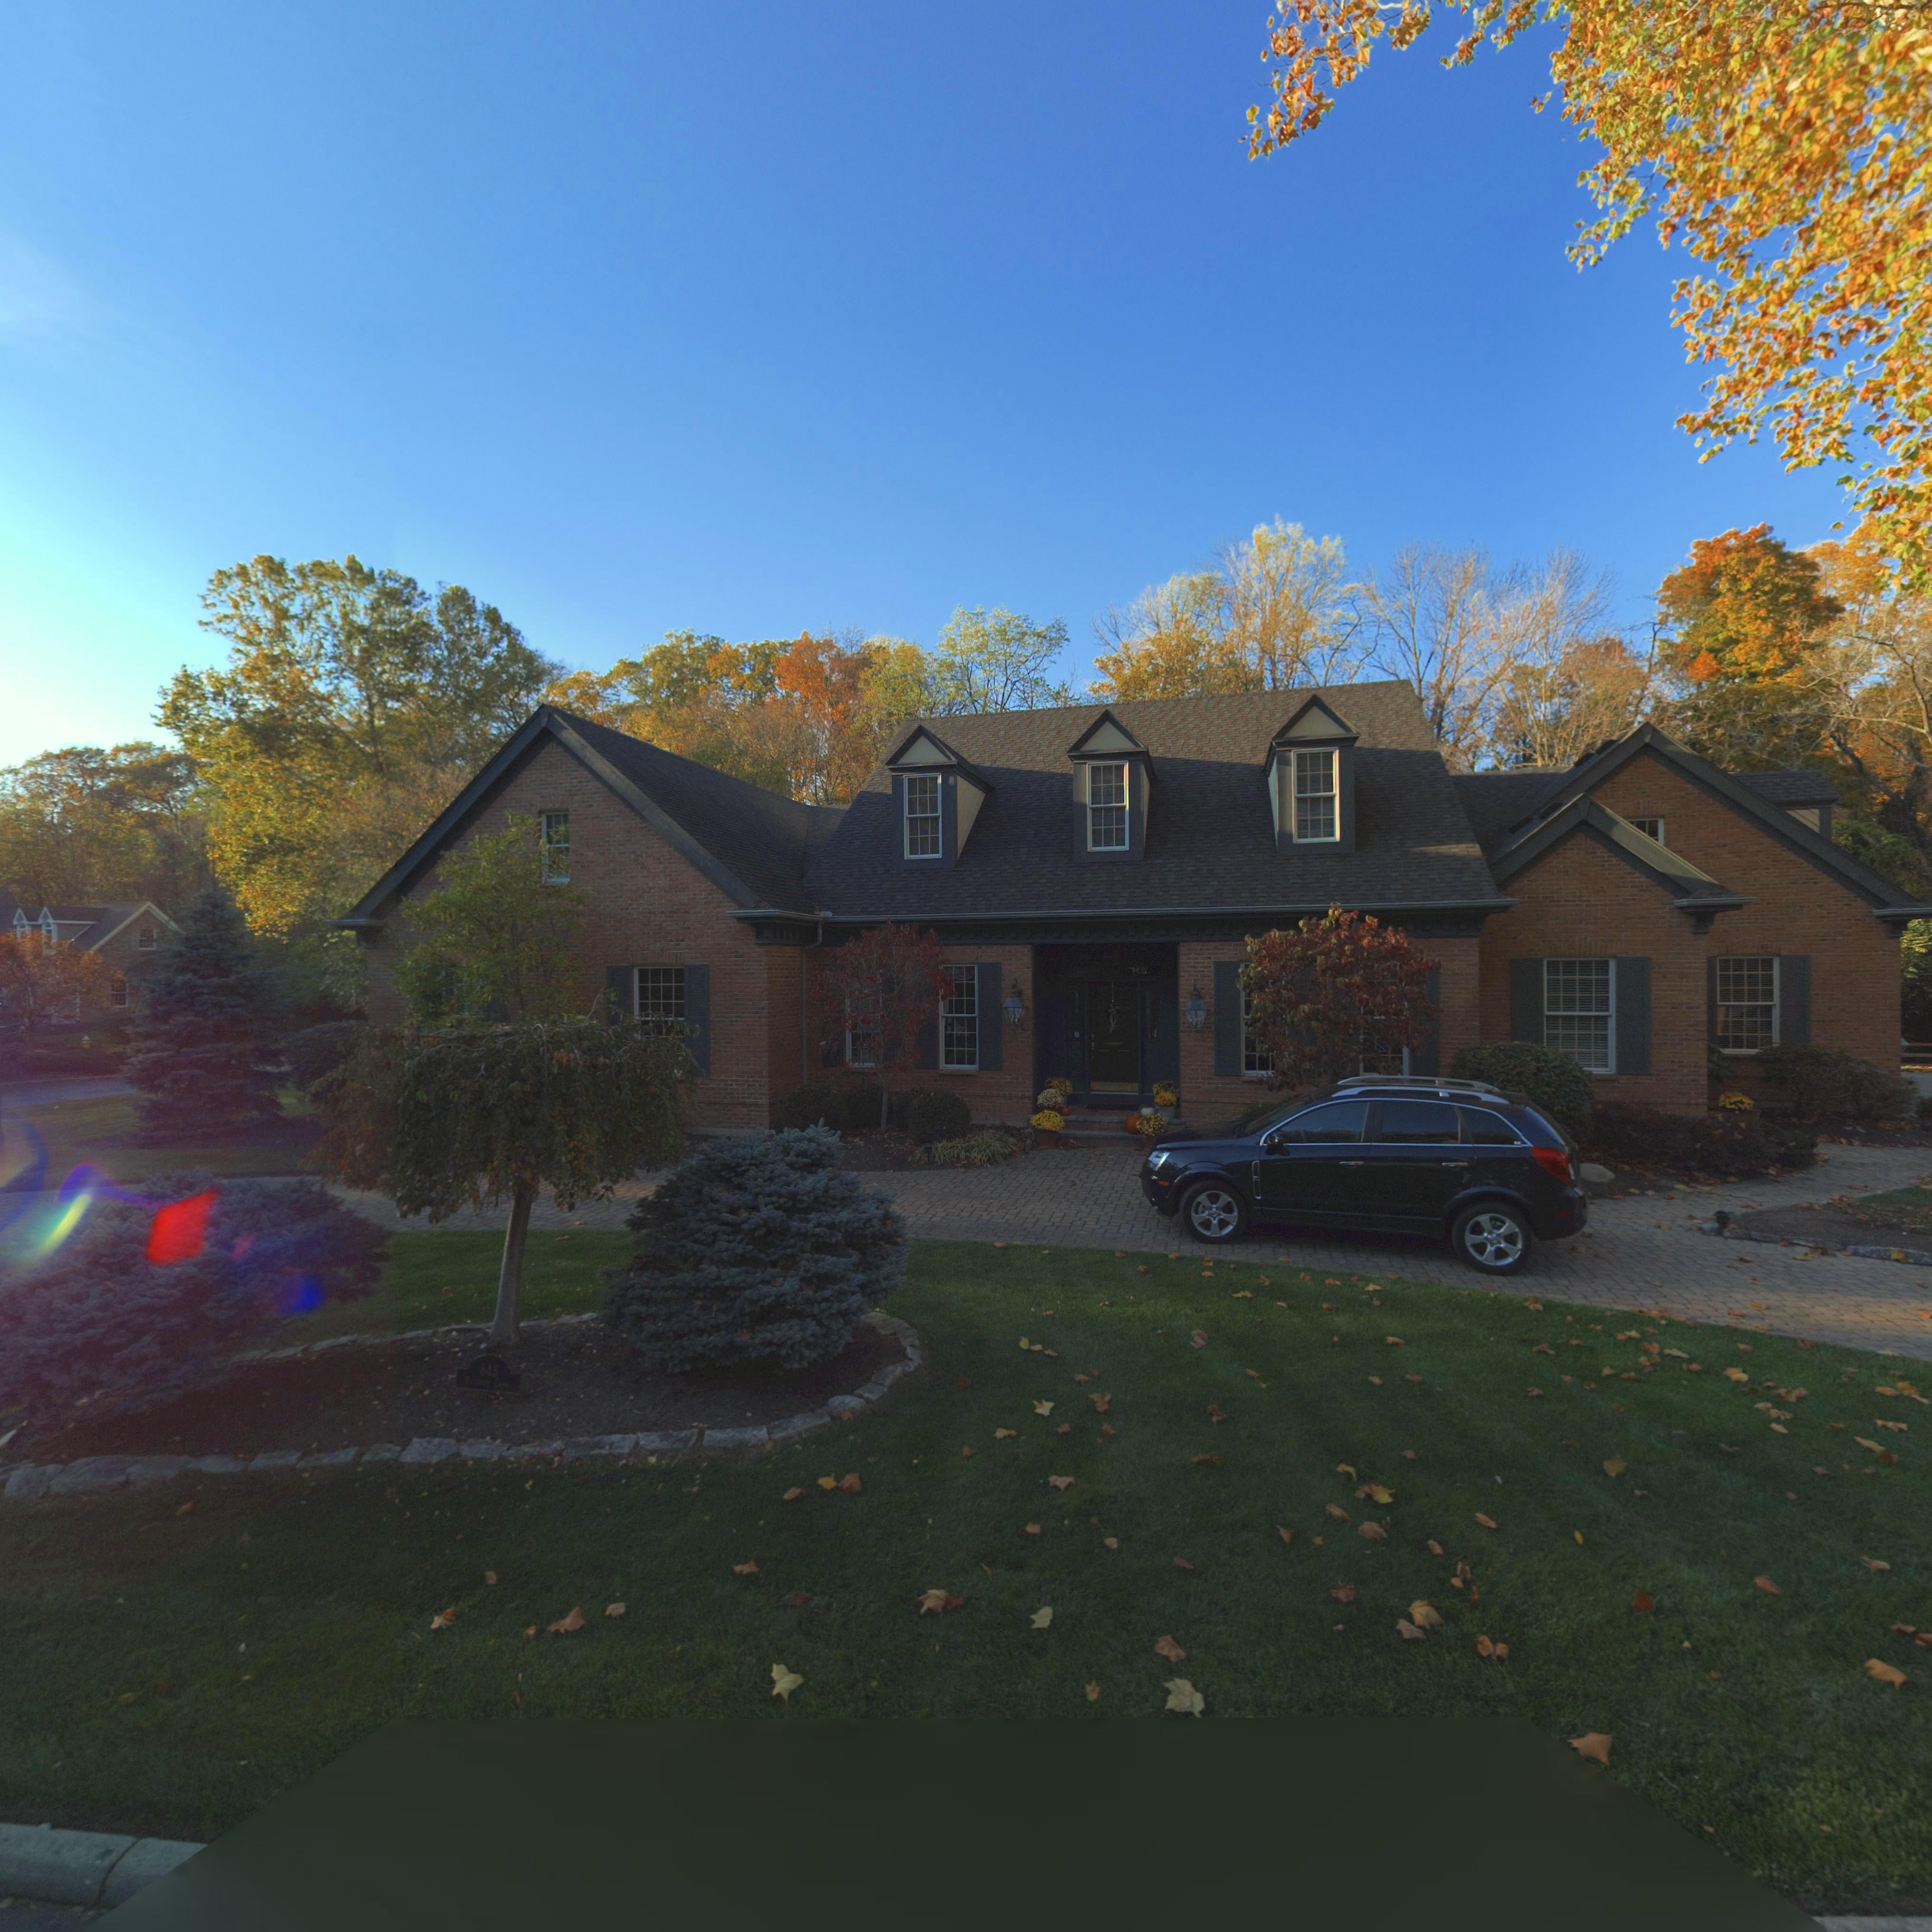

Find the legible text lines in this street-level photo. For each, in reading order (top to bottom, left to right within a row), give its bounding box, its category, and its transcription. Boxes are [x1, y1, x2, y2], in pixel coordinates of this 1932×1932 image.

[479, 1361, 502, 1379] StreetNumber: 645